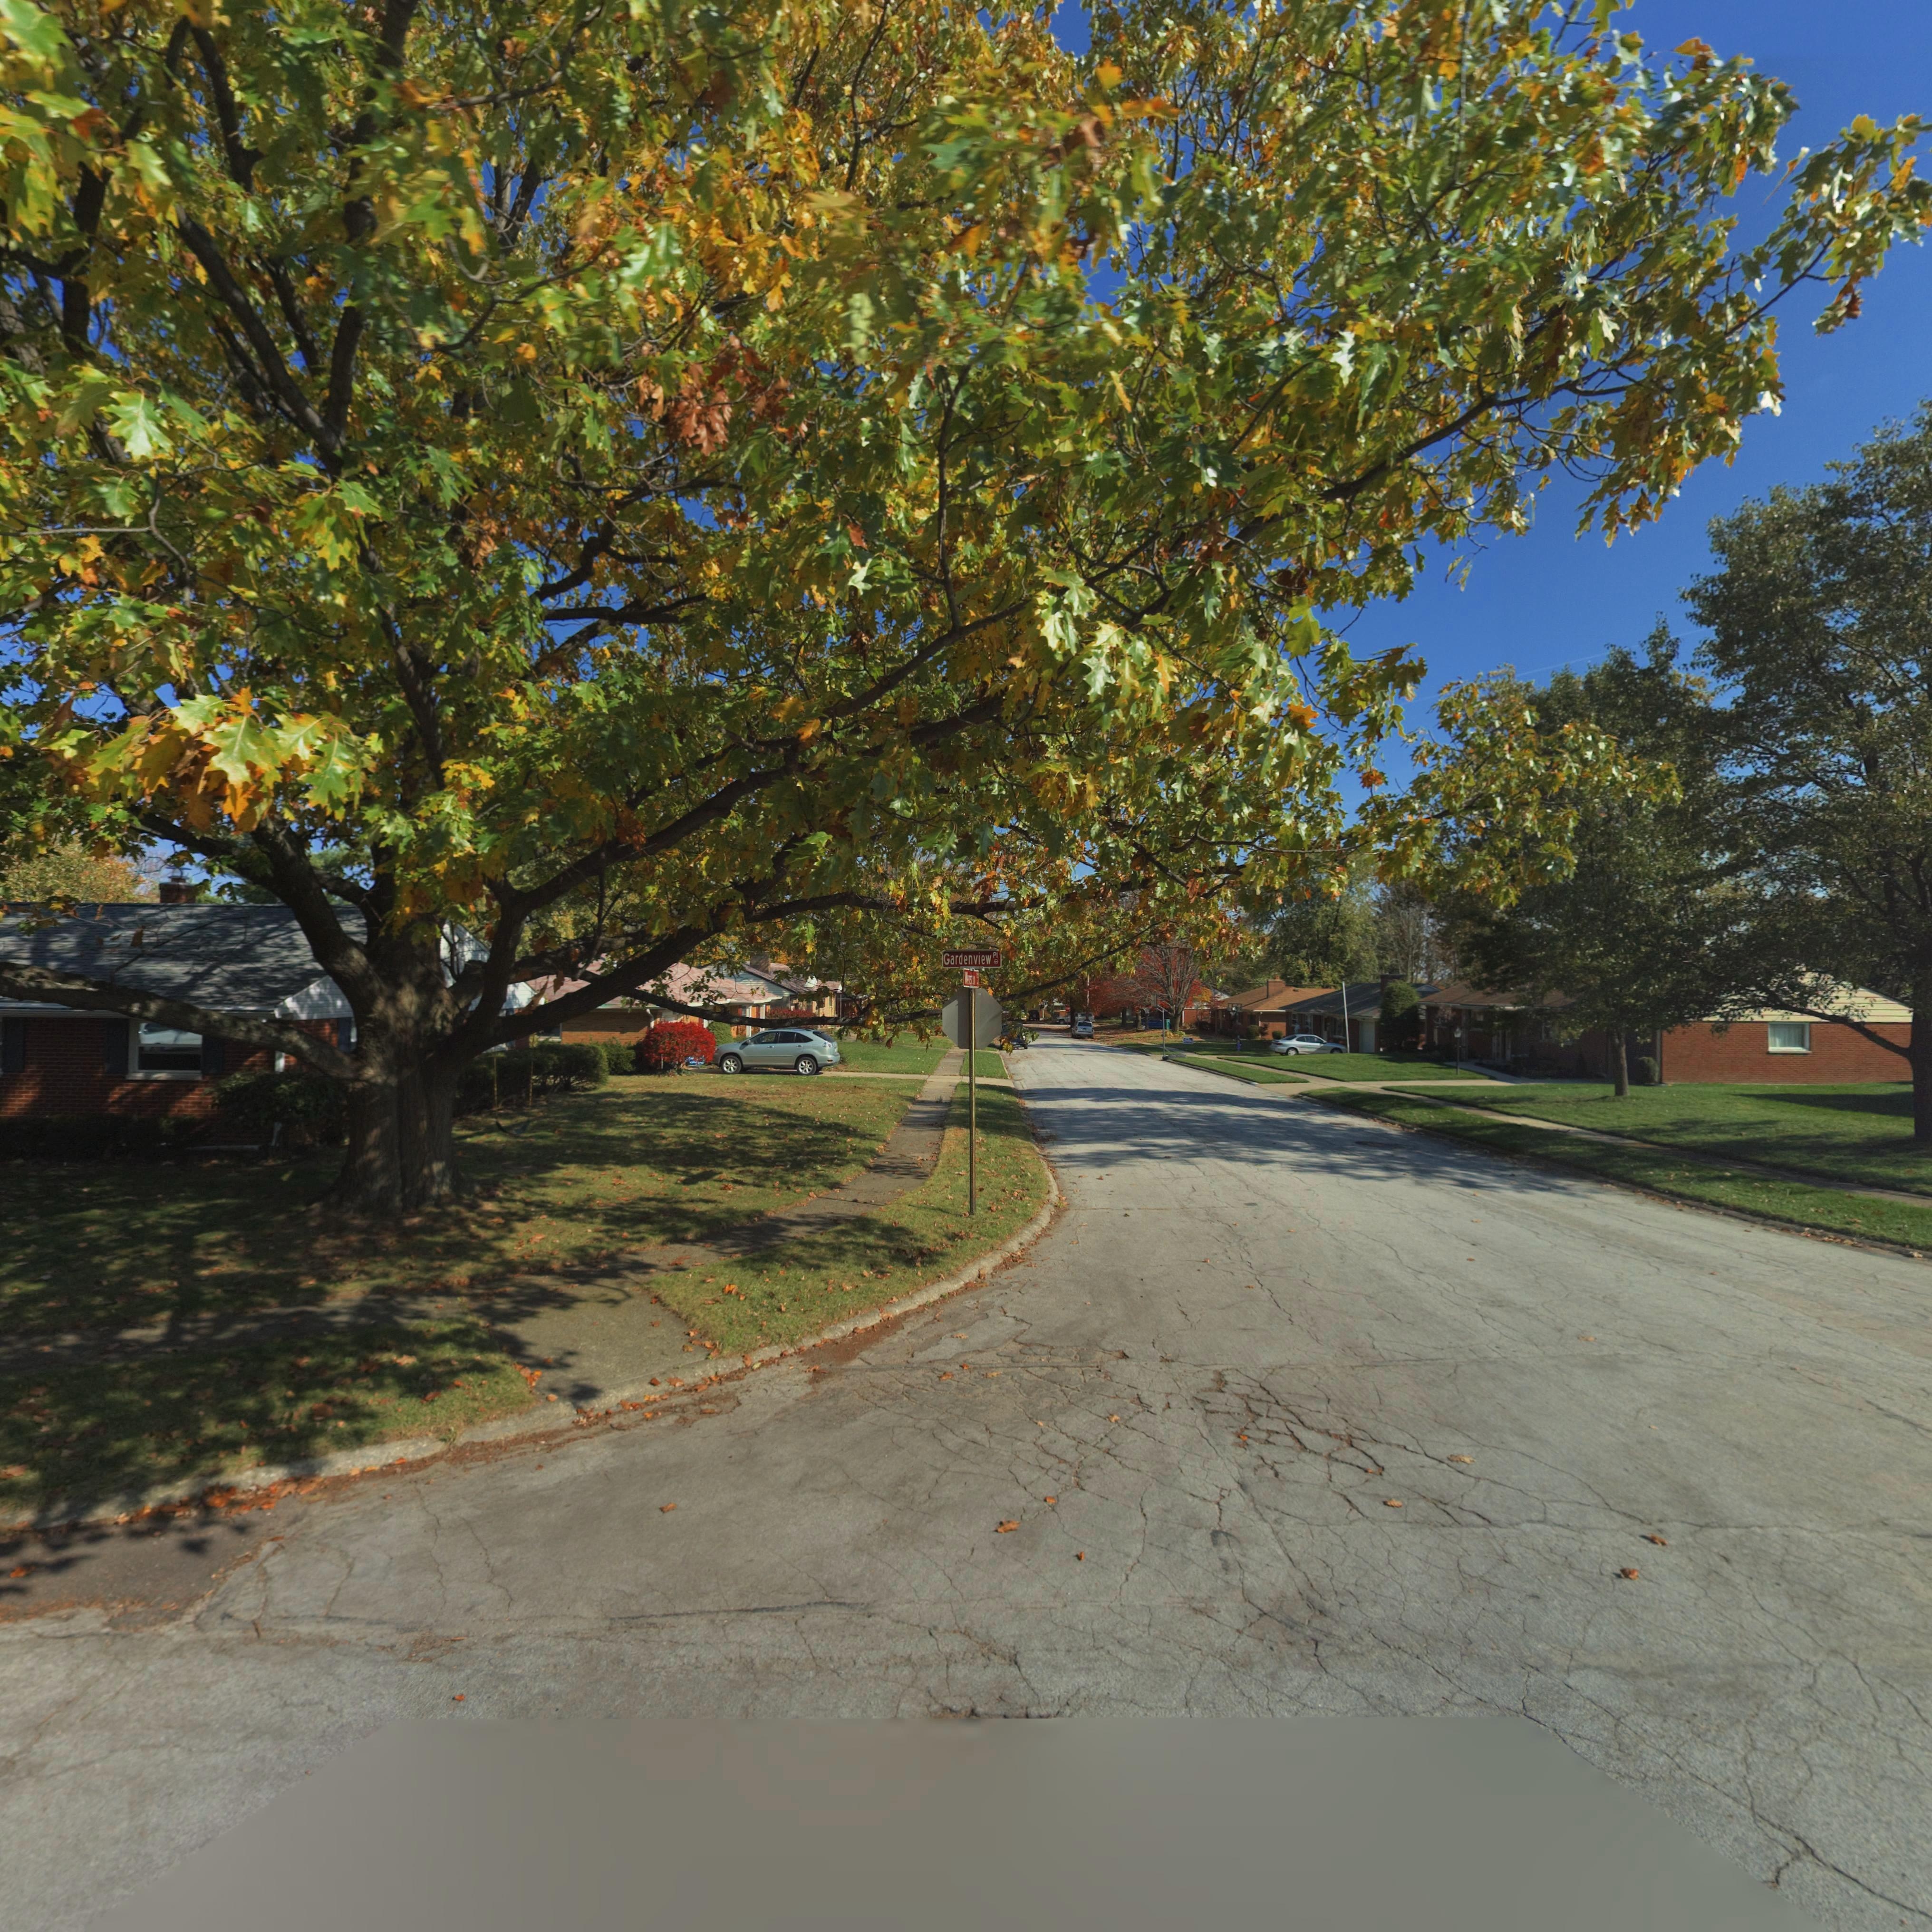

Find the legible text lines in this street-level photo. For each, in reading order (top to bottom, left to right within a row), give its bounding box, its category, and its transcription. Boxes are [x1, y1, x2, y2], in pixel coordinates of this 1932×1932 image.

[943, 951, 998, 966] StreetName: Gardenview Pl
[1065, 1007, 1071, 1010] None: STOP